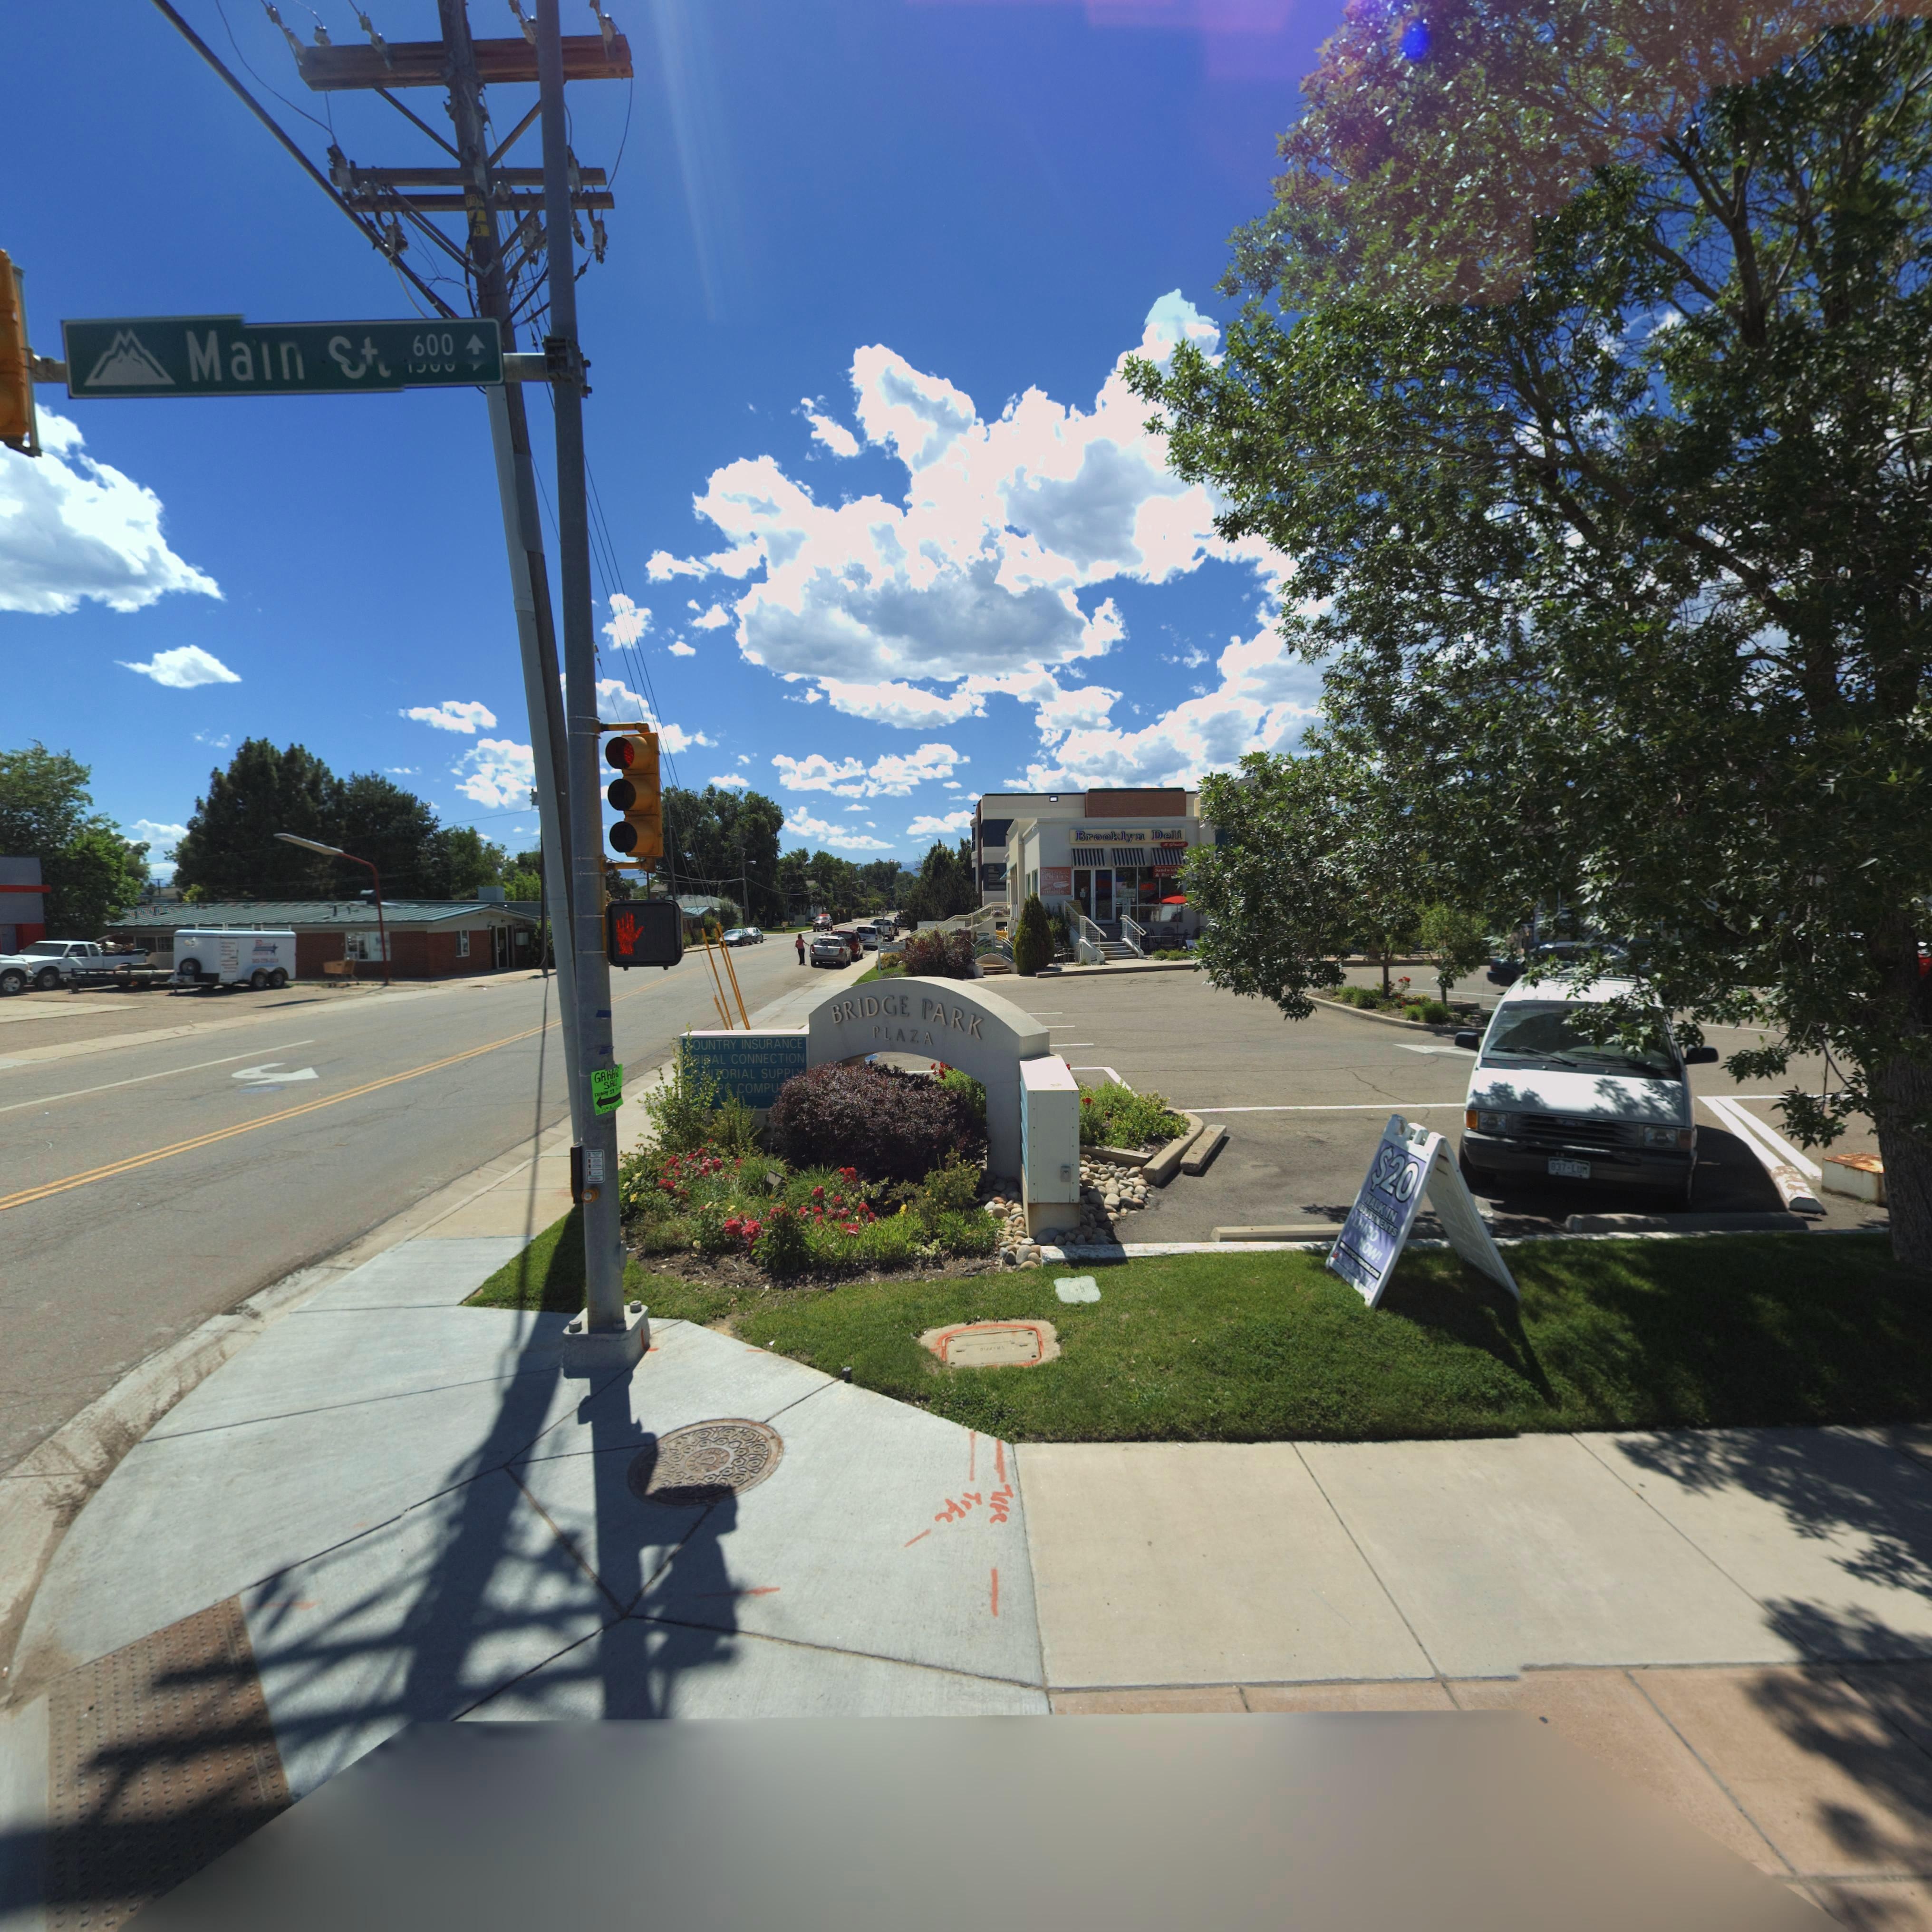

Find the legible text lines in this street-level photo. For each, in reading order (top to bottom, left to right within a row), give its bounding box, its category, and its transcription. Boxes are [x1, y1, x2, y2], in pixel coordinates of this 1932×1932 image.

[188, 330, 391, 382] StreetName: Main **
[412, 333, 453, 356] StreetNumberRange: 600
[1075, 830, 1181, 843] BusinessName: Brooklyn Deli
[686, 1038, 803, 1050] BusinessName: *OUNTRY INSURANCE
[686, 1053, 804, 1064] BusinessName: *RIDAL CONNECTION
[1352, 1216, 1379, 1242] BusinessName: CHIRO
[1356, 1236, 1383, 1264] BusinessName: NOW!